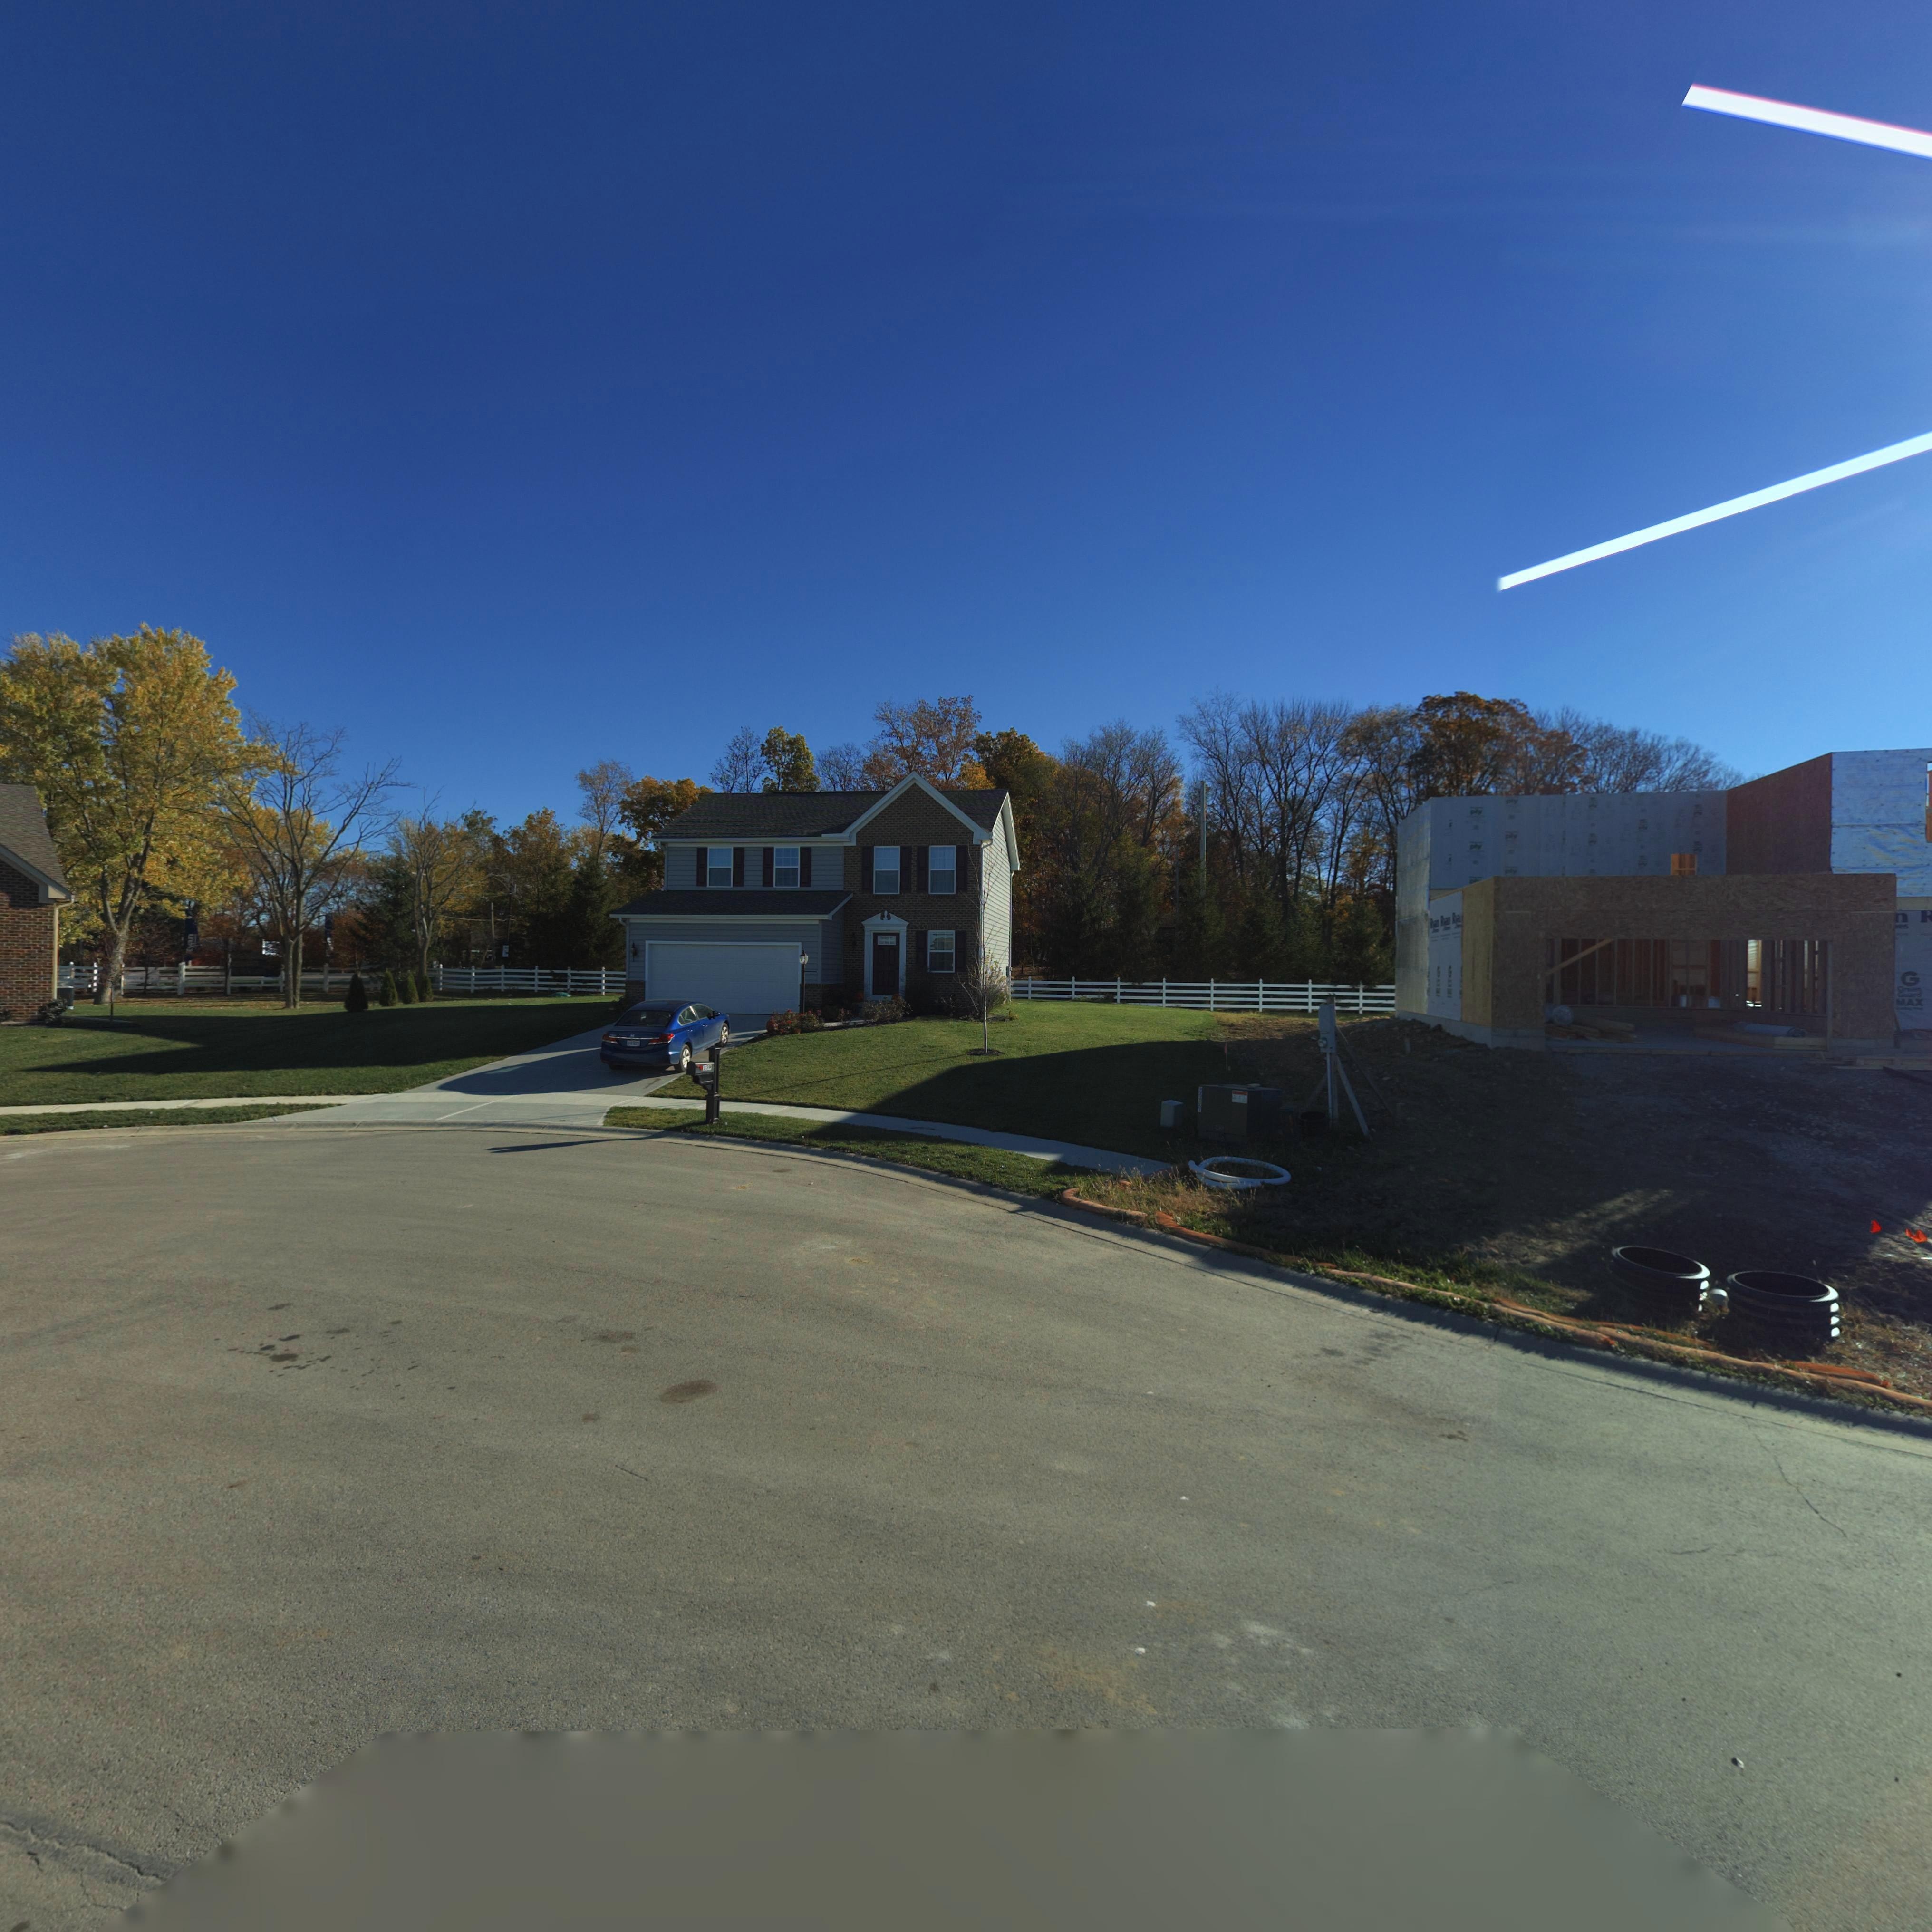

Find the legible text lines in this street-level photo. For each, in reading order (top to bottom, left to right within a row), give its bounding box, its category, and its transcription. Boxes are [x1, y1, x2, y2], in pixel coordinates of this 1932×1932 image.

[703, 1065, 712, 1071] StreetNumber: 109